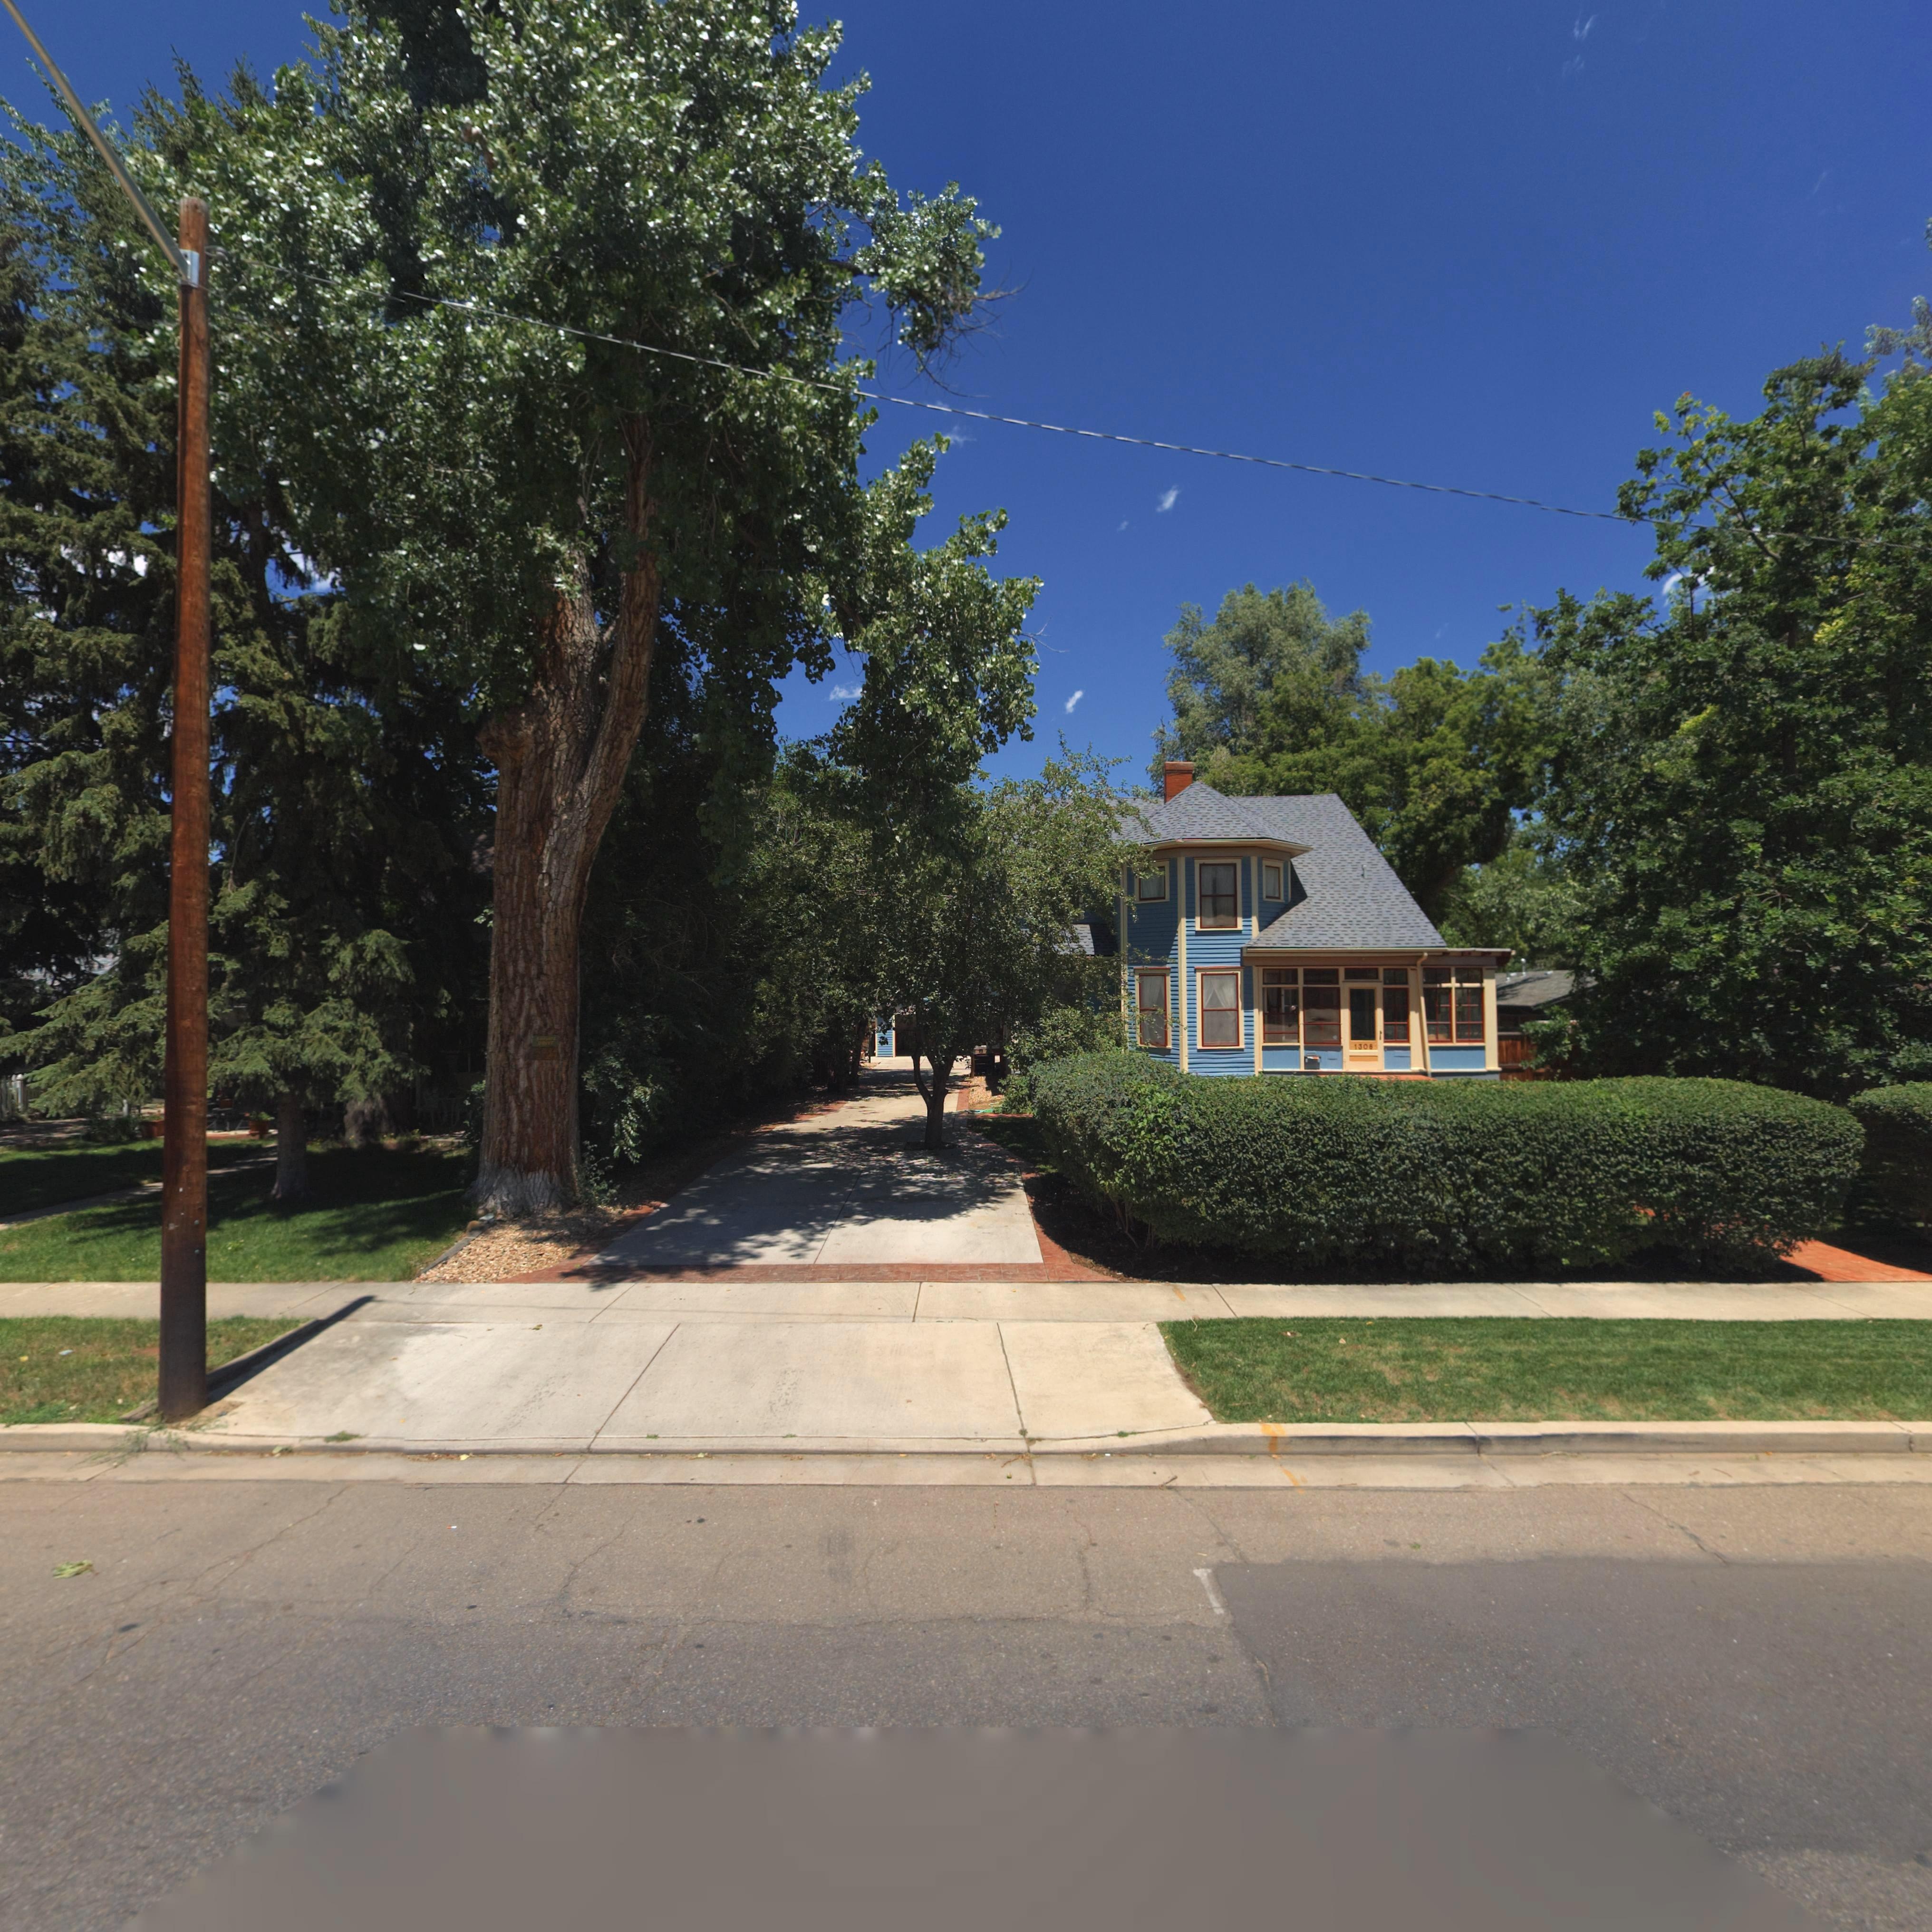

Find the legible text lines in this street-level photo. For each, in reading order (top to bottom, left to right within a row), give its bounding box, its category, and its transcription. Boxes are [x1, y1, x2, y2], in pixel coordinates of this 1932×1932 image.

[1353, 1043, 1372, 1050] StreetNumber: 1308